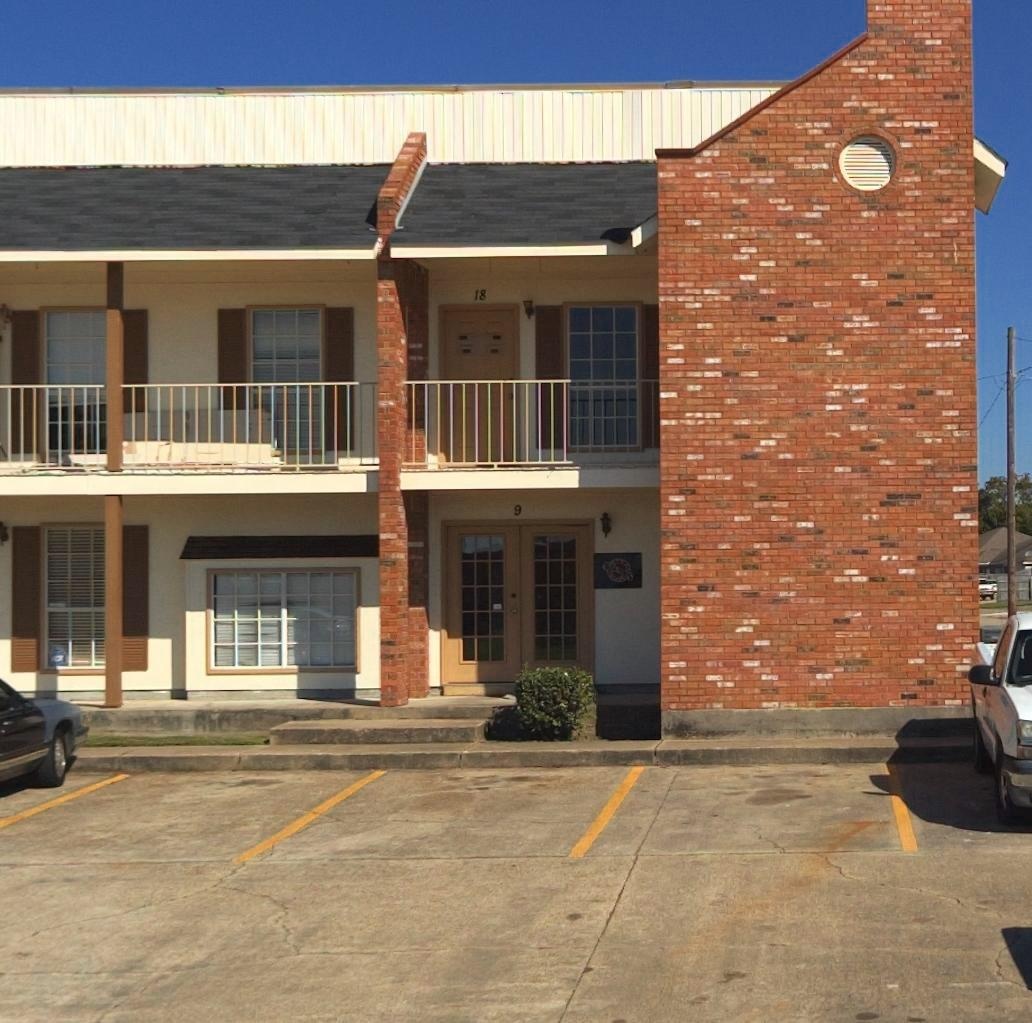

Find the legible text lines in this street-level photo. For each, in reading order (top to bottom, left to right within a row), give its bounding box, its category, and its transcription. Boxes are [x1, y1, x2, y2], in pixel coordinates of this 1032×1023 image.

[471, 286, 489, 303] StreetNumber: 18
[512, 502, 524, 518] StreetNumber: 9